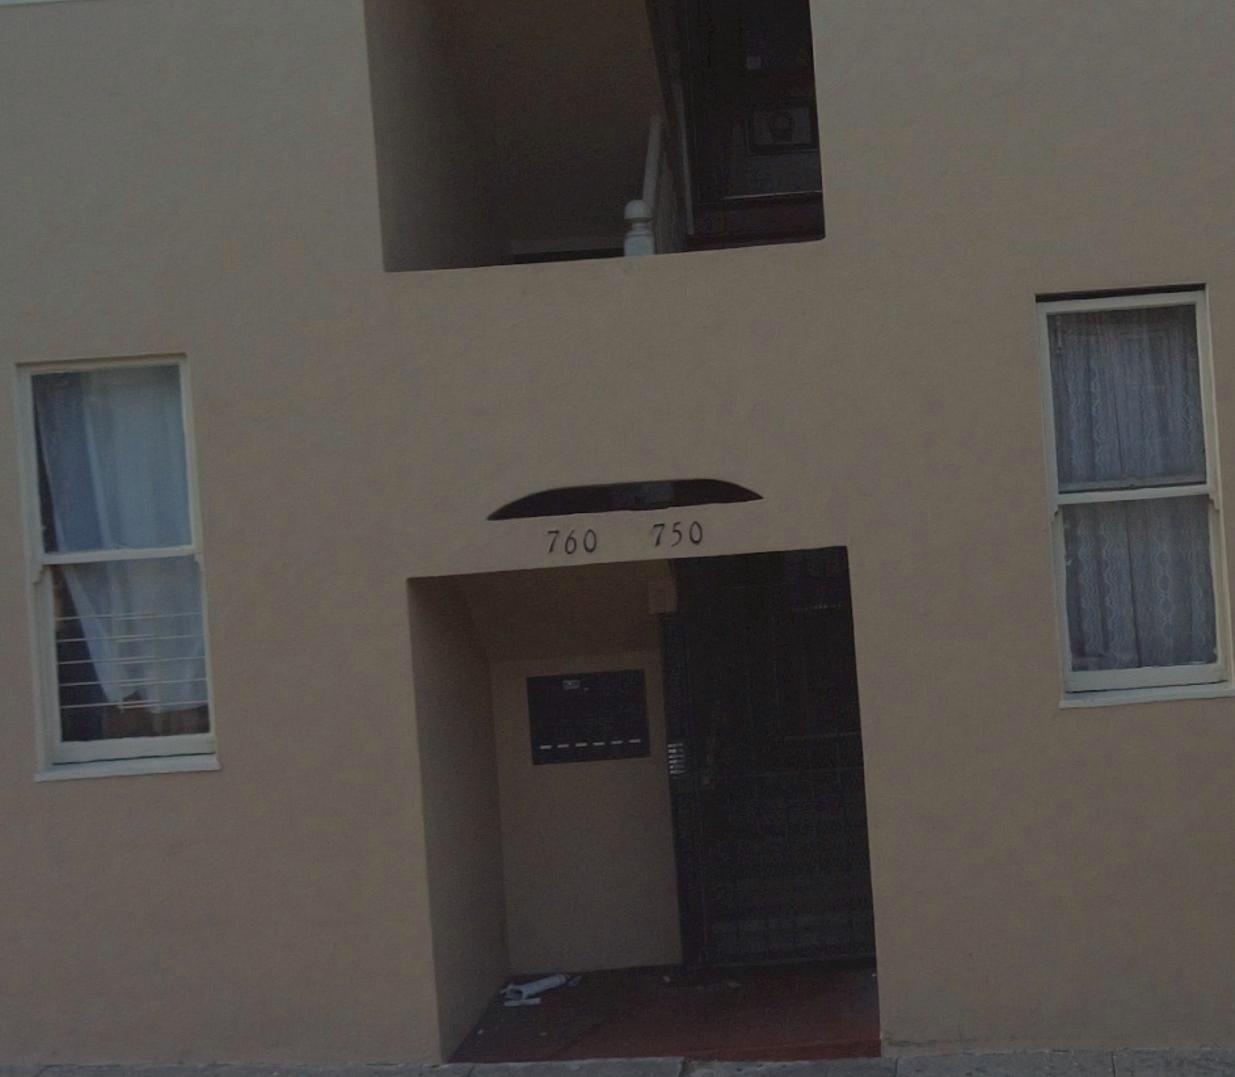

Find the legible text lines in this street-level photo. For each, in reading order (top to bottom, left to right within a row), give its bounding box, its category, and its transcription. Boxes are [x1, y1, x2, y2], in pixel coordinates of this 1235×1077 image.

[545, 526, 597, 556] StreetNumber: 760
[649, 518, 703, 550] StreetNumber: 750